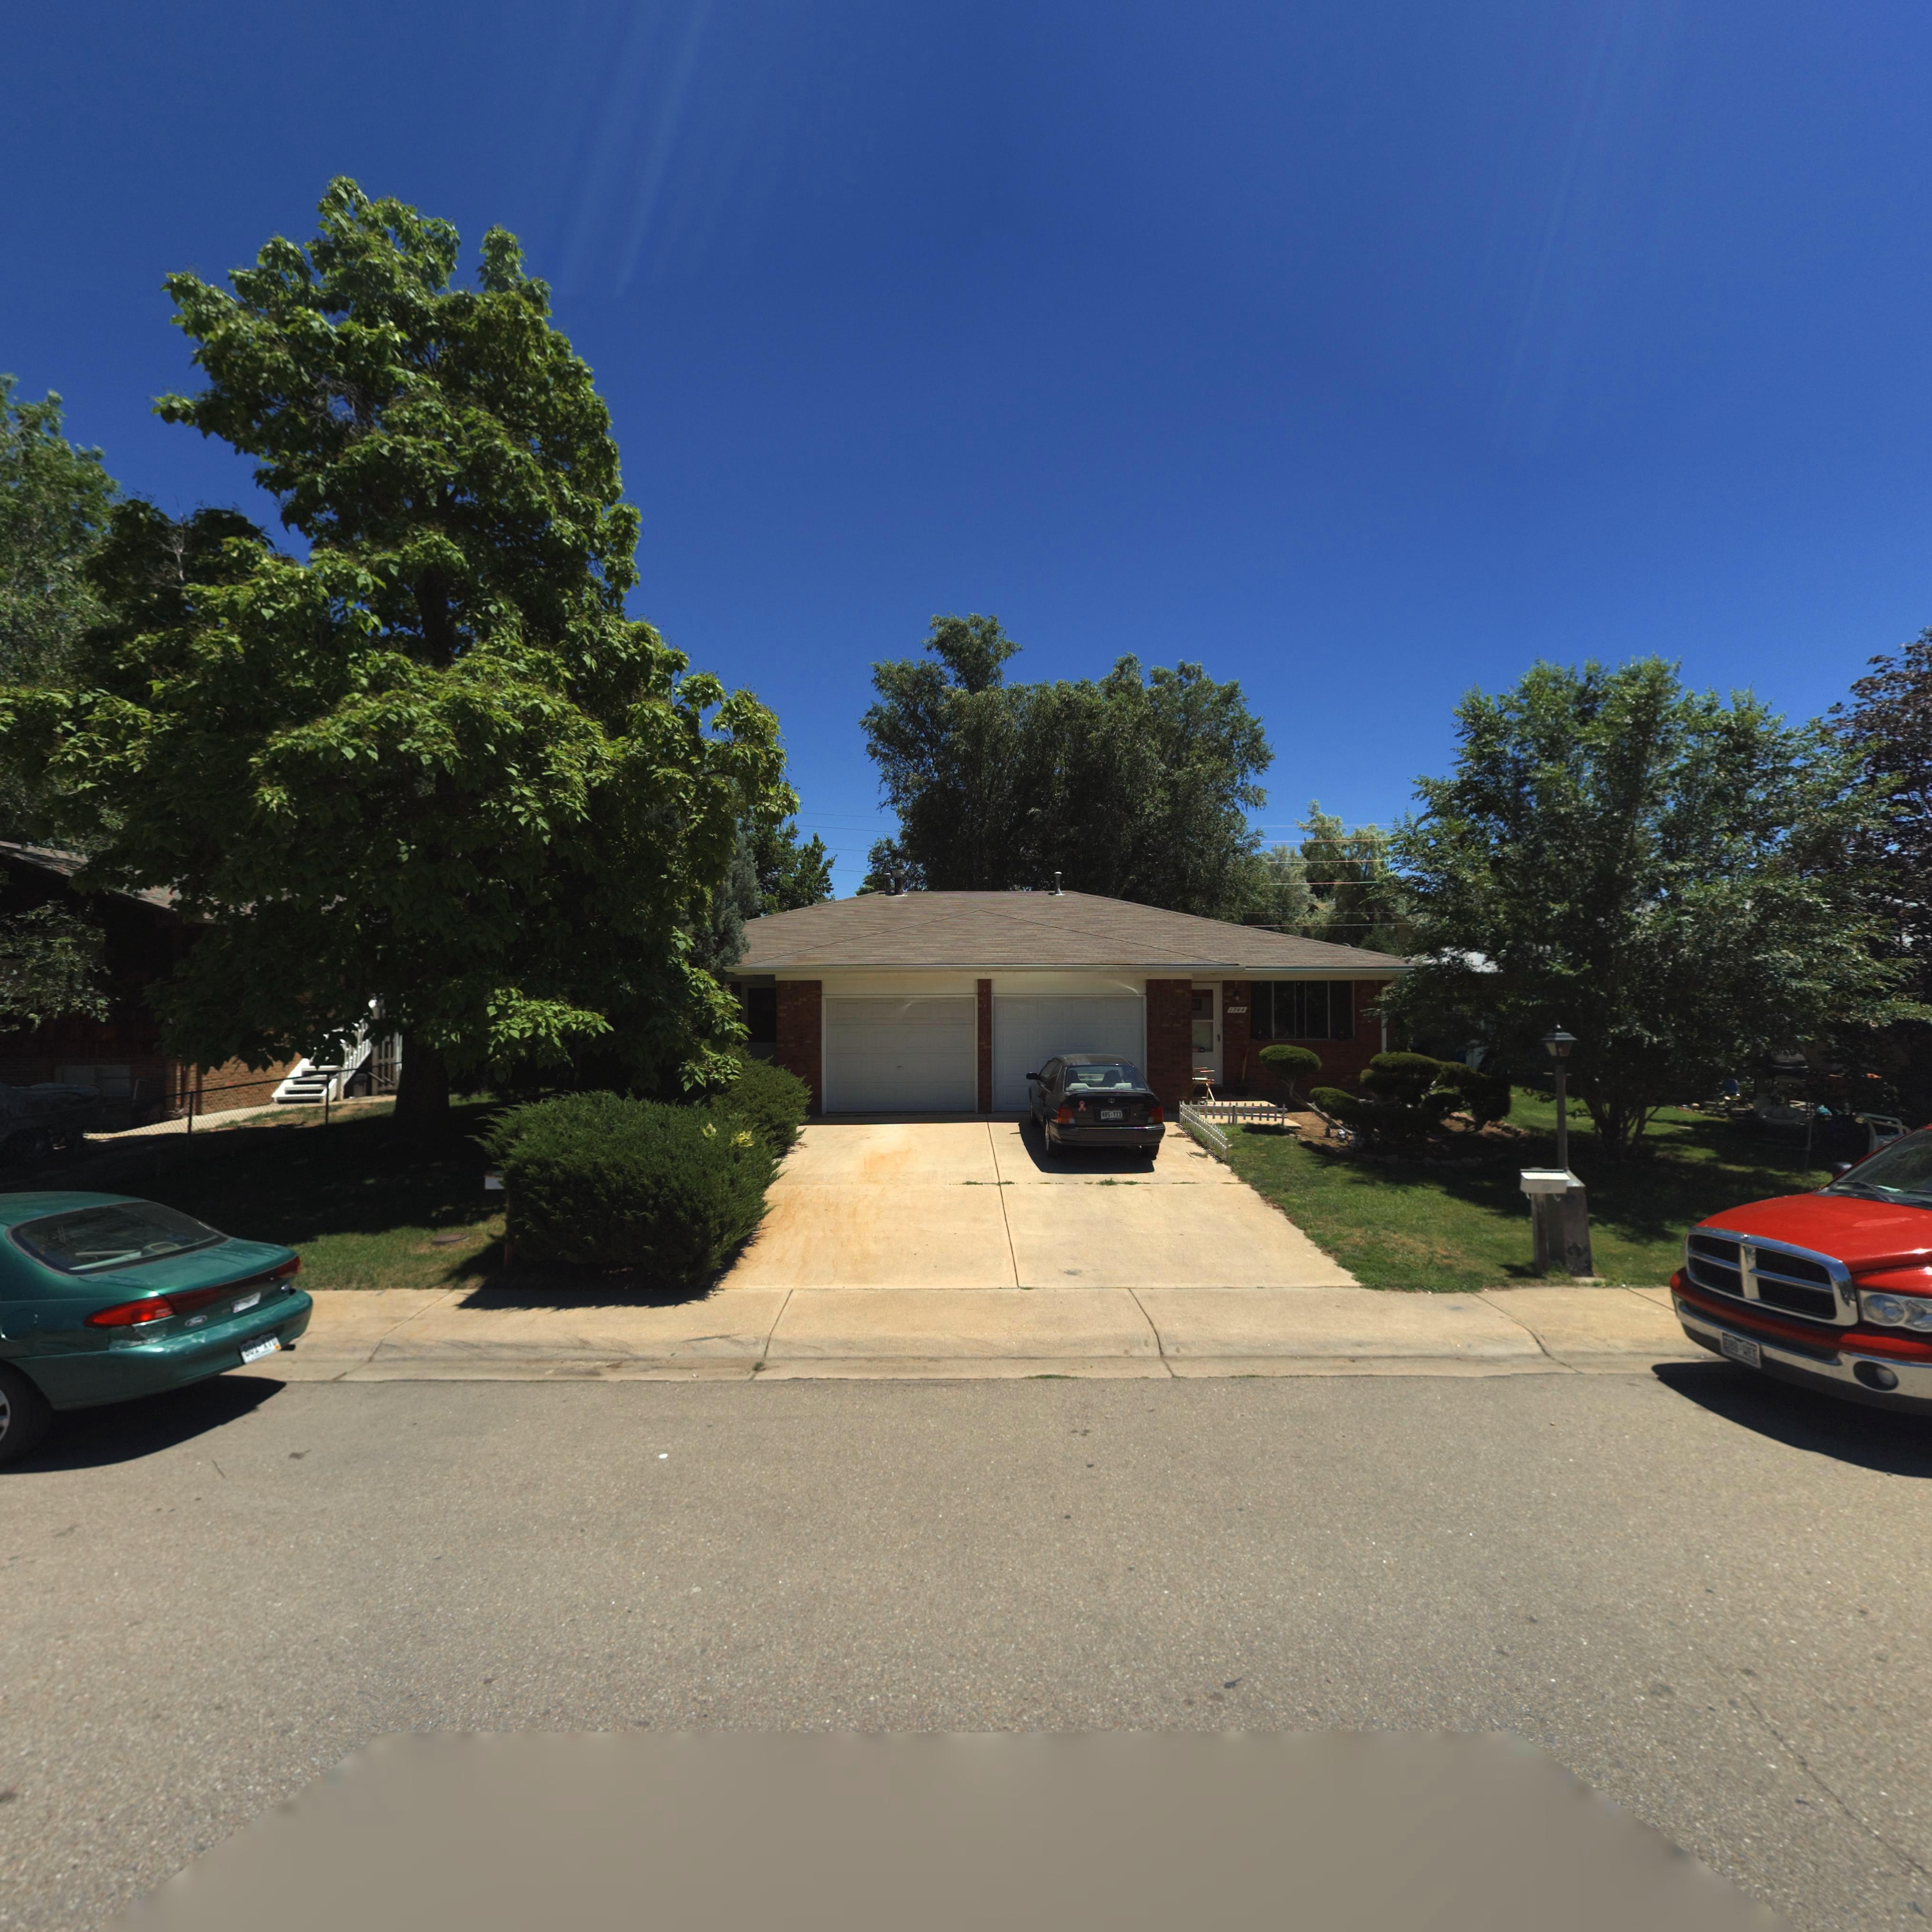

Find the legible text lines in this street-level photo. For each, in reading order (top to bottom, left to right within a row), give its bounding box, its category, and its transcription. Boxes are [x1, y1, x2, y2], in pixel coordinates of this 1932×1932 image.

[1229, 1007, 1245, 1012] StreetNumber: 1744